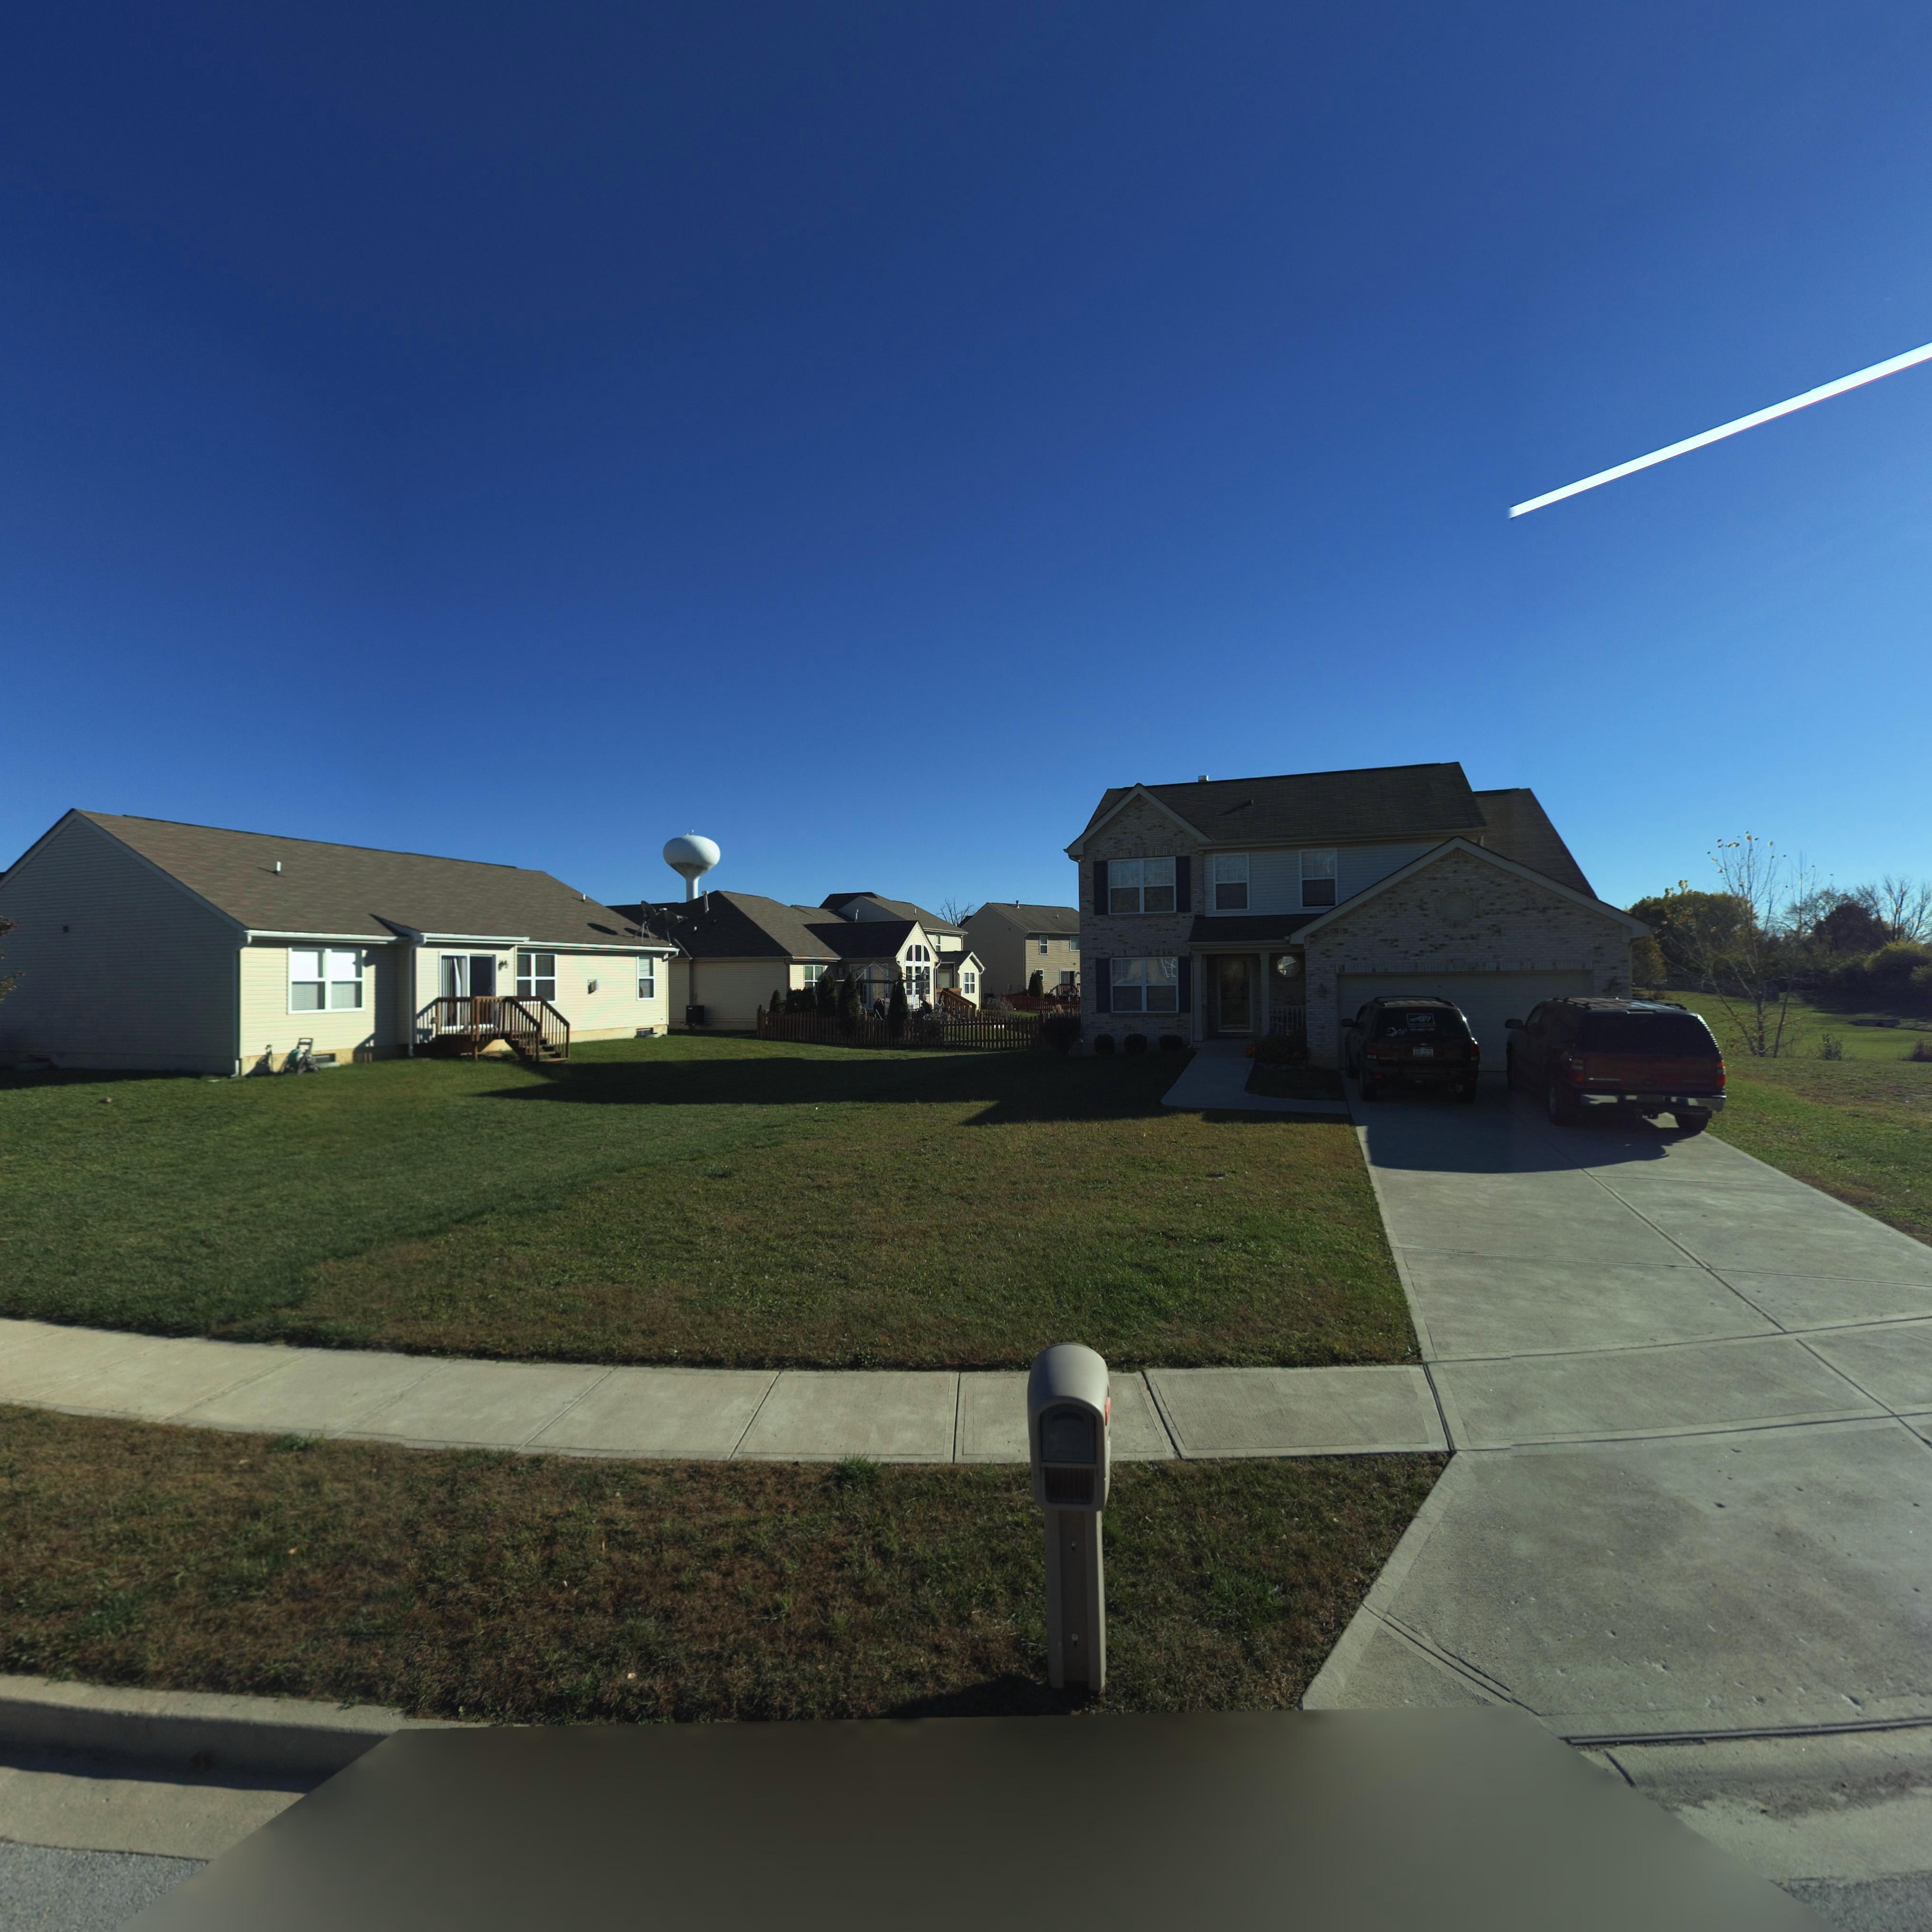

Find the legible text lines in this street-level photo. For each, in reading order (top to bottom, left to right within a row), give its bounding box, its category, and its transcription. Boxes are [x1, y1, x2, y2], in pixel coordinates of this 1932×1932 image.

[1262, 969, 1267, 986] StreetNumber: 60*